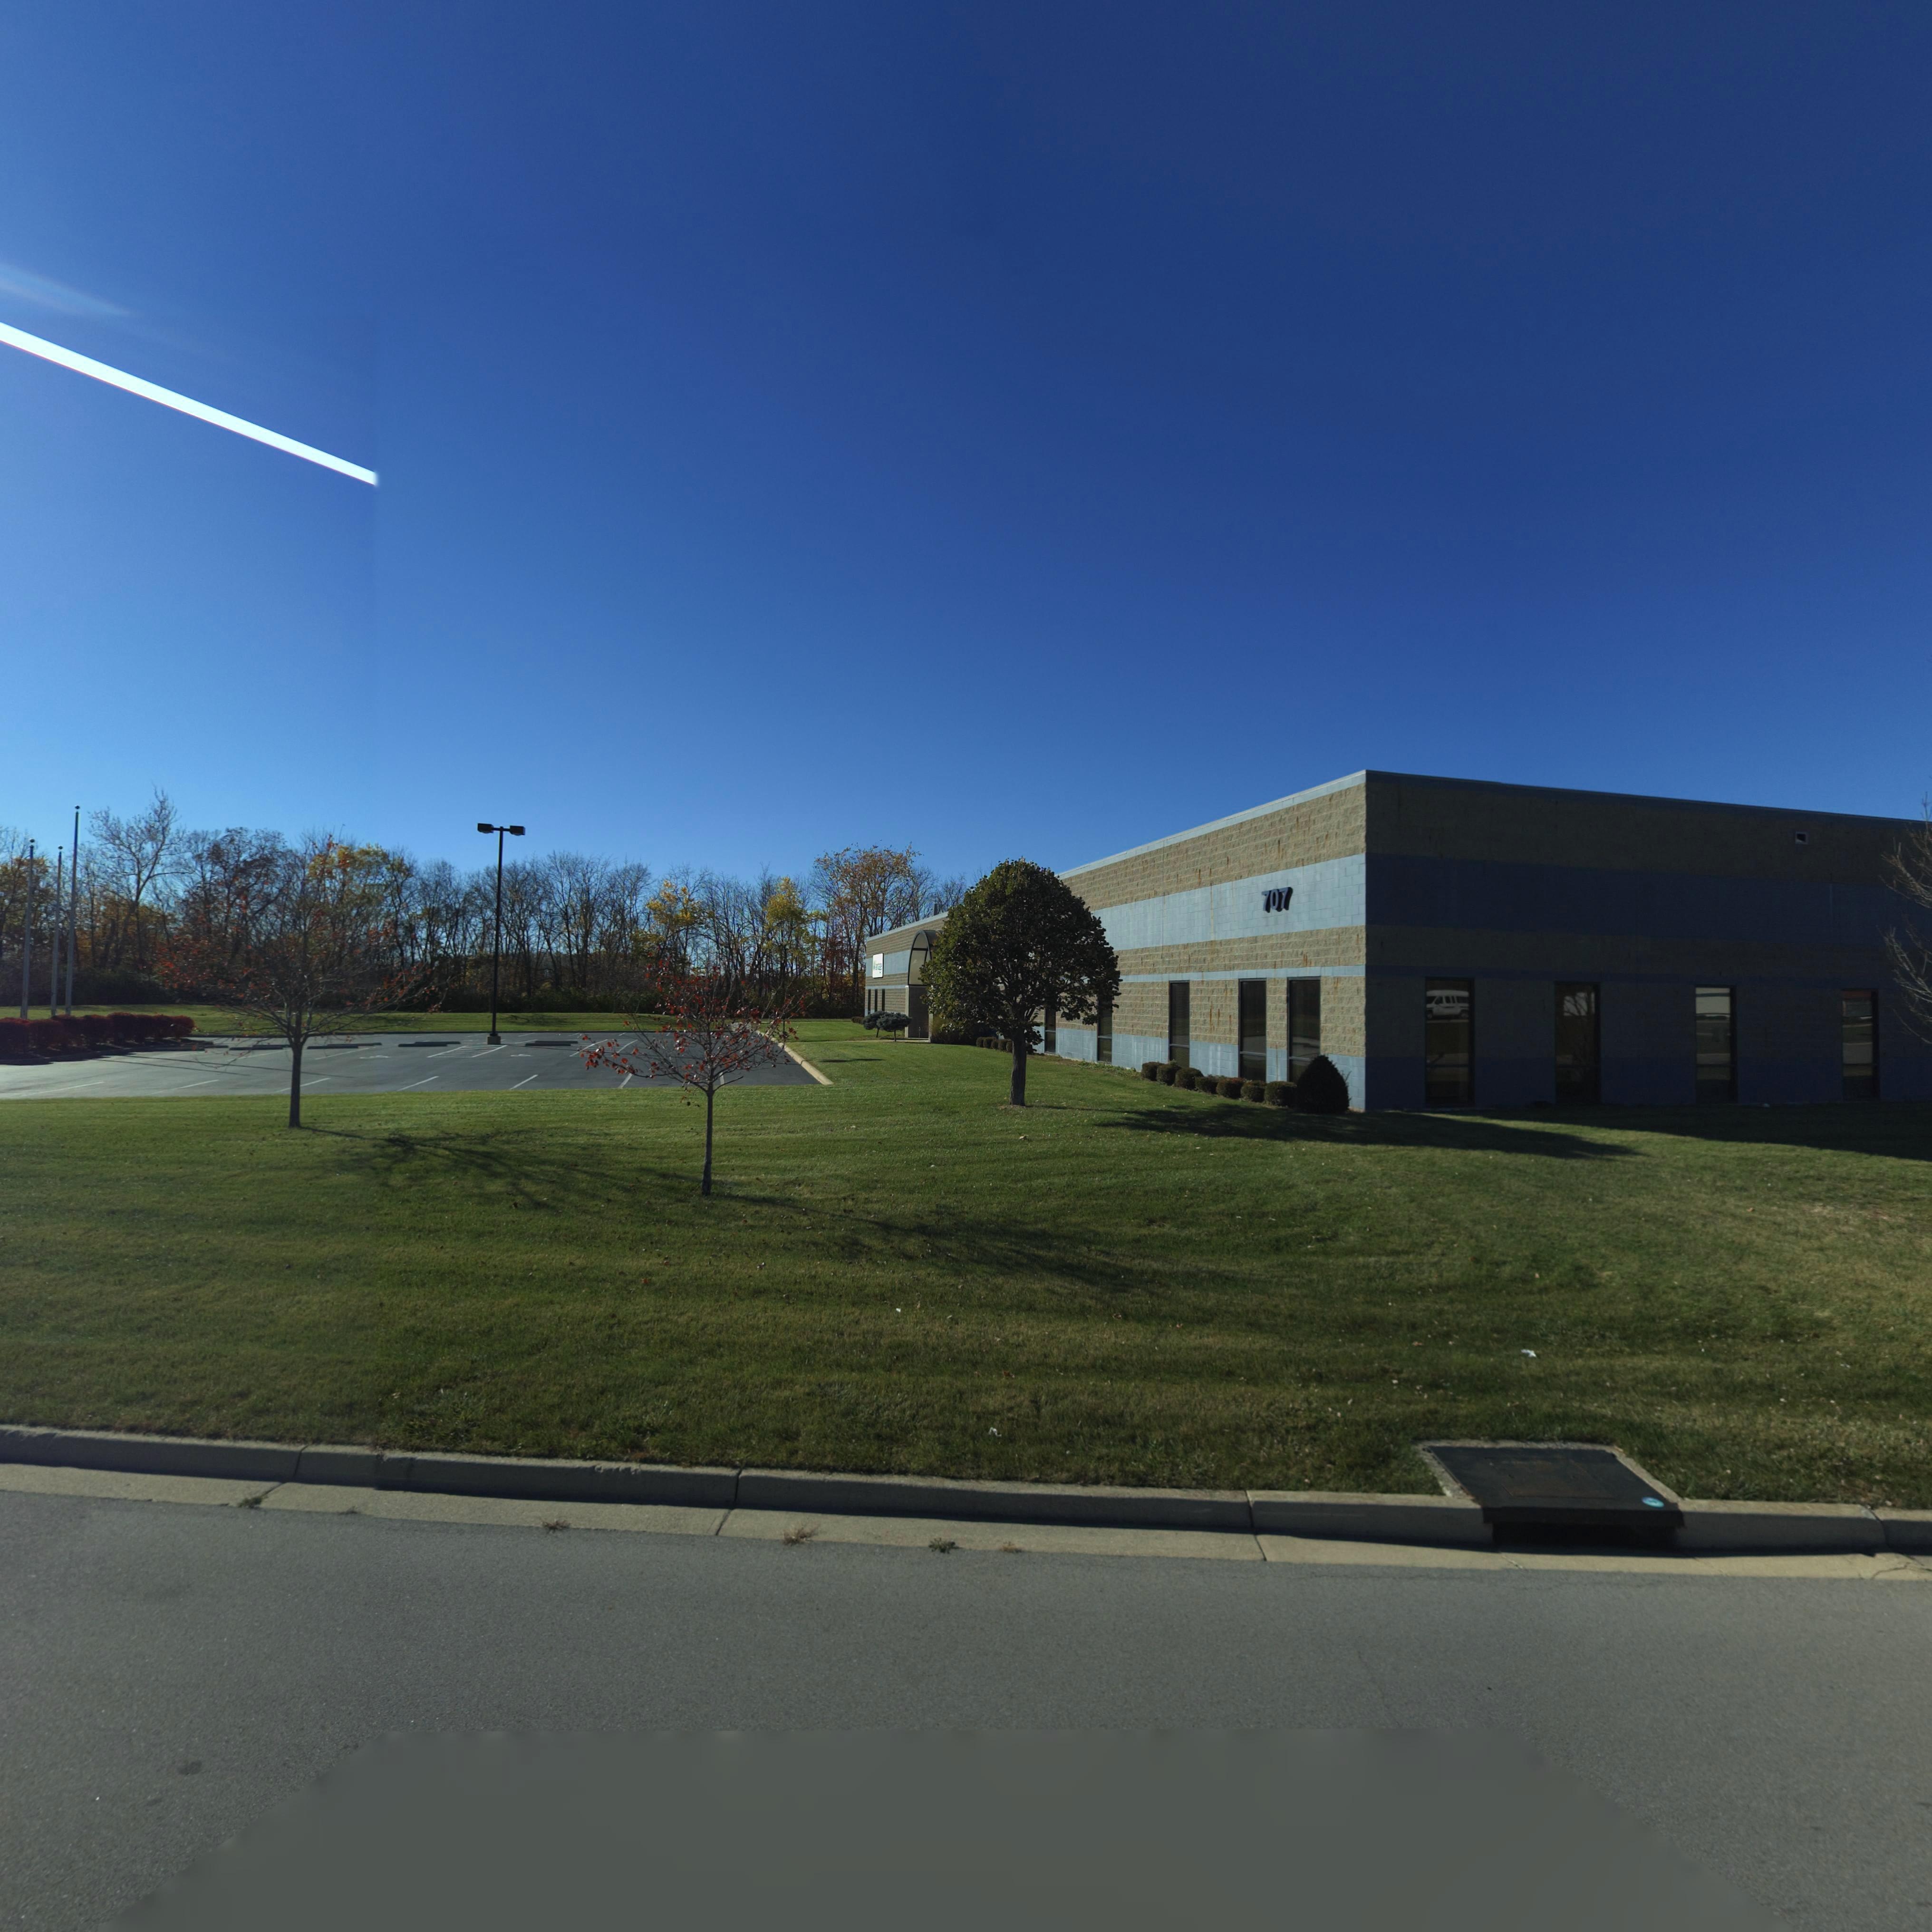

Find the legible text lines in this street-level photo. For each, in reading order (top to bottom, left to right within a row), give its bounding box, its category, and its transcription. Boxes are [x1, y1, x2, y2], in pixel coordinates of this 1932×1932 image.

[1260, 886, 1289, 912] StreetNumber: 707